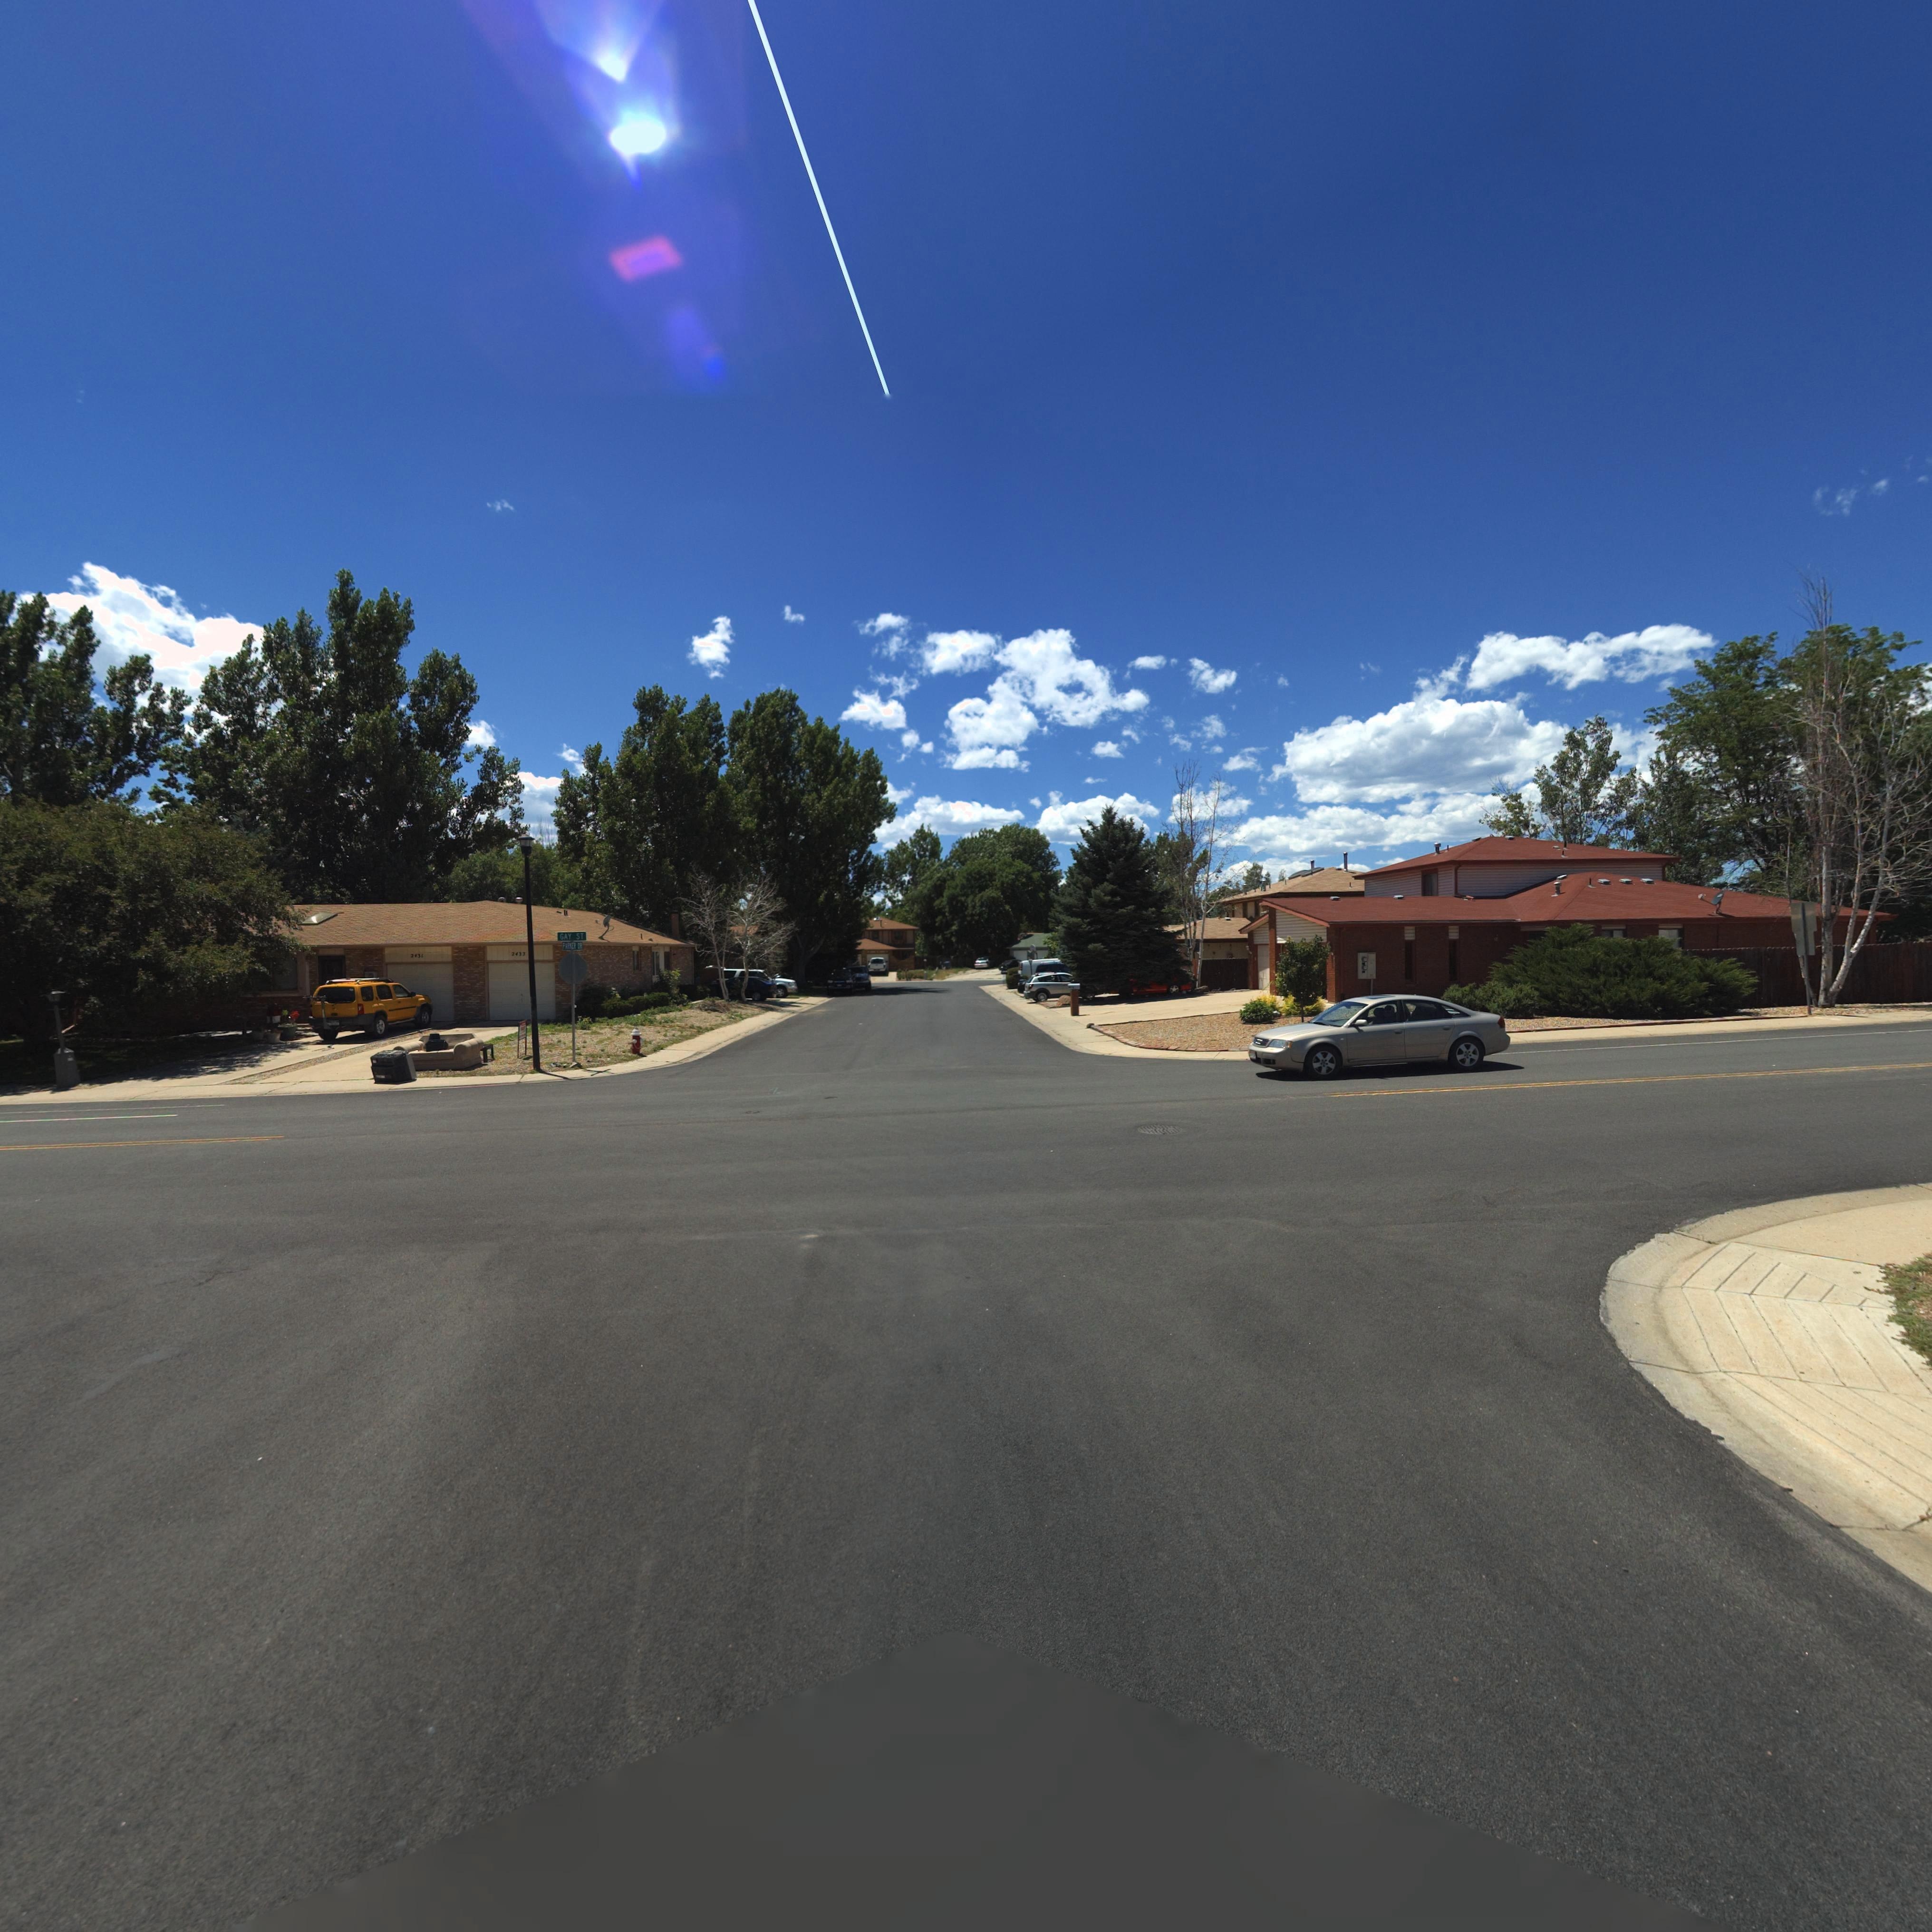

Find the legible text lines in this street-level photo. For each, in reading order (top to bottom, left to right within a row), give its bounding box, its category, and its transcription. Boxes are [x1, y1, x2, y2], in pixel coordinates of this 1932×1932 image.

[559, 932, 584, 940] StreetName: GAY ST
[562, 942, 582, 949] StreetName: PAR*ER DR
[410, 953, 423, 958] StreetNumber: 2*31
[511, 951, 525, 956] StreetNumber: 2433